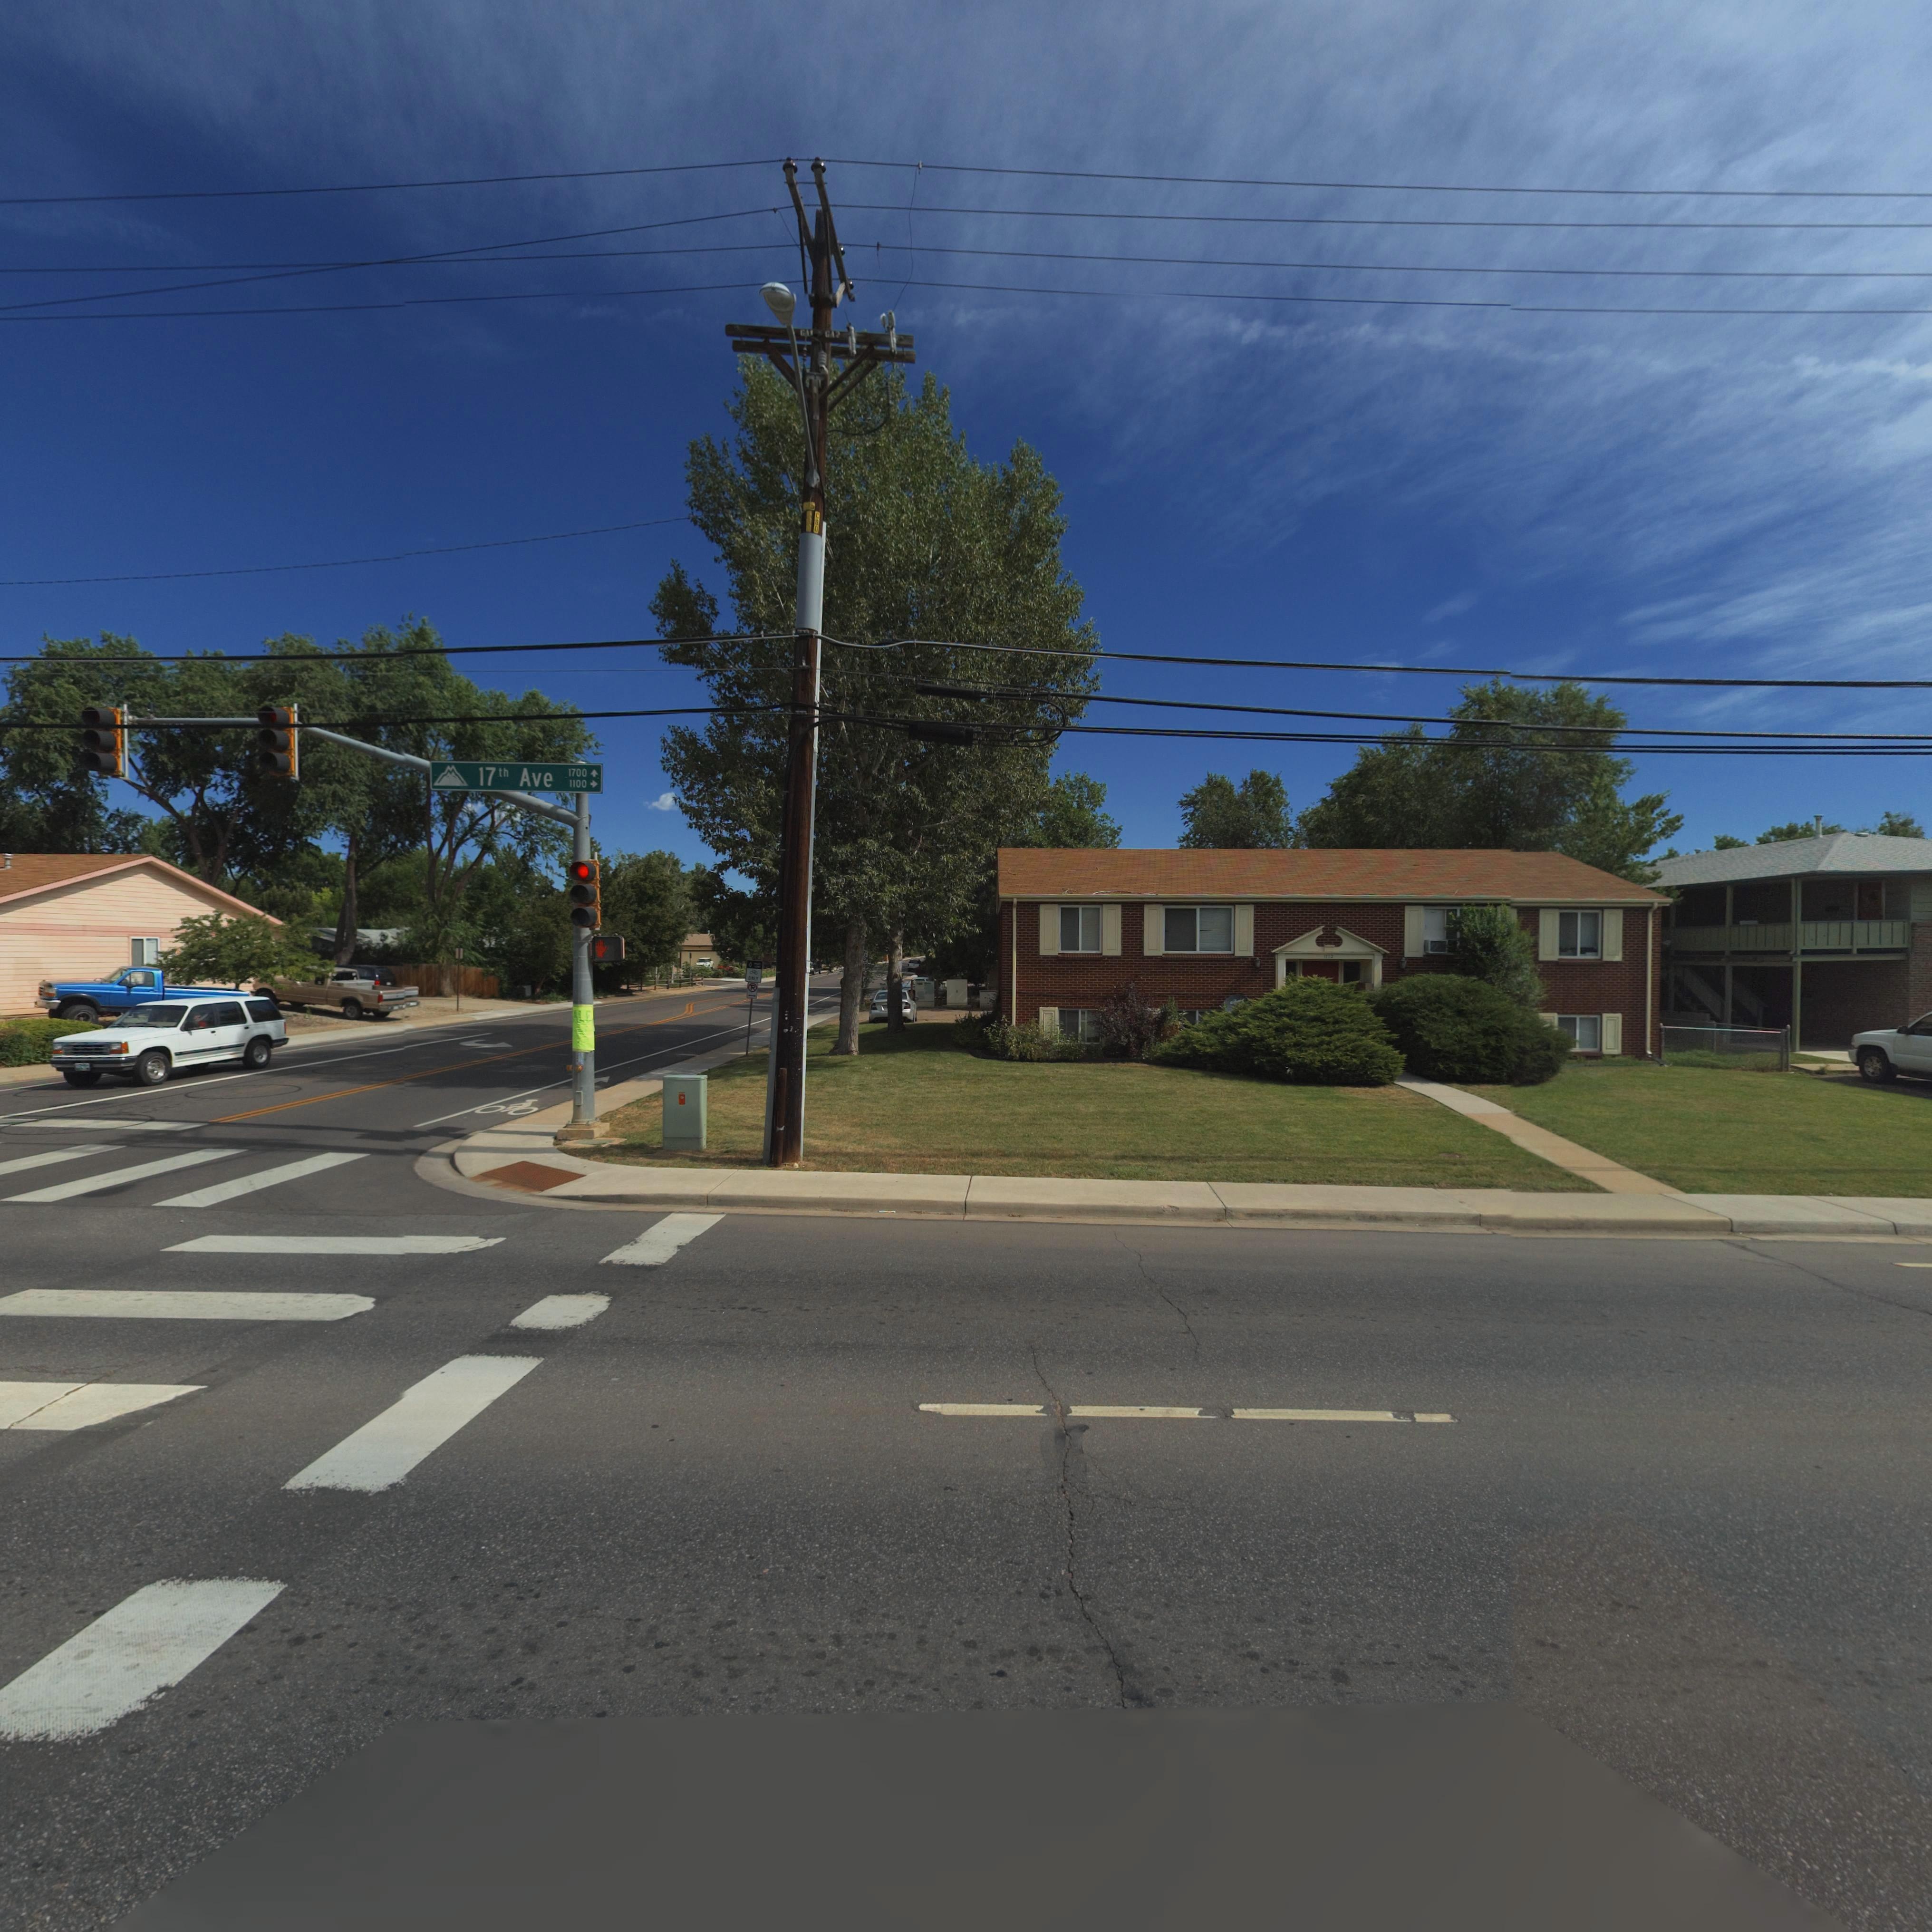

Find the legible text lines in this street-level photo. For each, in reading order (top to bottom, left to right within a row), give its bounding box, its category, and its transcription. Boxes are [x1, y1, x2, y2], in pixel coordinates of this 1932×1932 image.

[478, 766, 554, 788] StreetName: 17th Ave
[568, 768, 588, 777] StreetNumberRange: 1700
[569, 779, 599, 788] StreetNumberRange: 1100->
[1323, 954, 1333, 958] StreetNumber: 1112